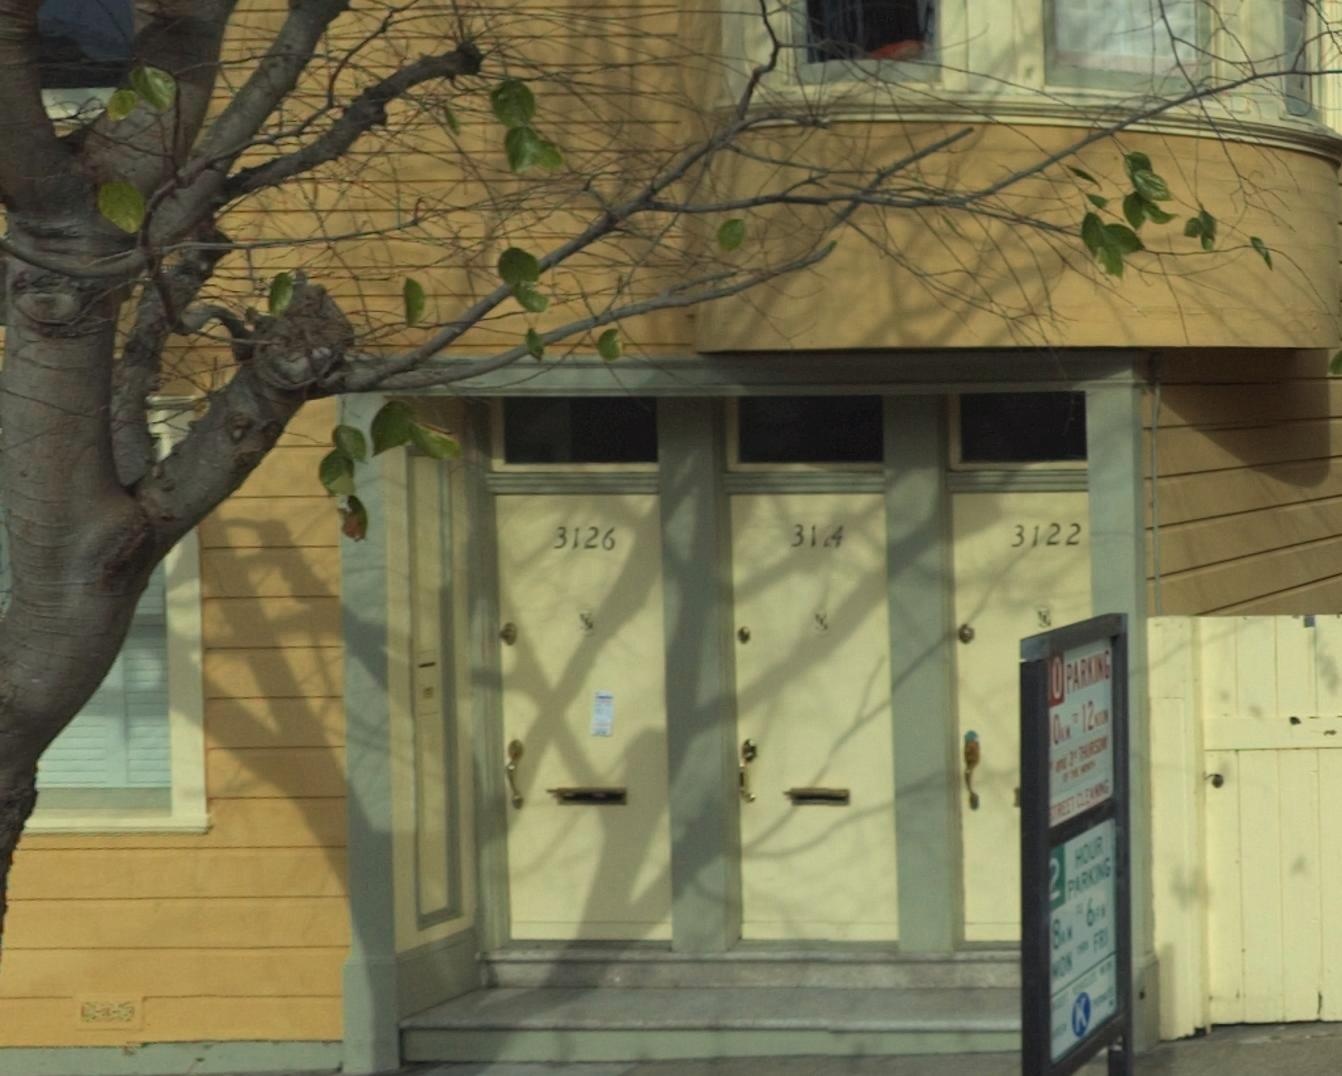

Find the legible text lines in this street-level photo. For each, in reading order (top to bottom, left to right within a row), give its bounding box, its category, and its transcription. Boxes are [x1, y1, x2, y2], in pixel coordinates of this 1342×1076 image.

[551, 523, 619, 552] StreetNumber: 3126
[789, 520, 848, 551] StreetNumber: 31*4
[1008, 520, 1084, 550] StreetNumber: 3122
[1048, 645, 1115, 706] None: O PARKING
[1078, 695, 1098, 738] None: 12
[1070, 828, 1109, 875] None: HOUR
[1081, 890, 1098, 933] None: 6
[1050, 914, 1062, 954] None: 8
[1072, 992, 1091, 1039] None: K